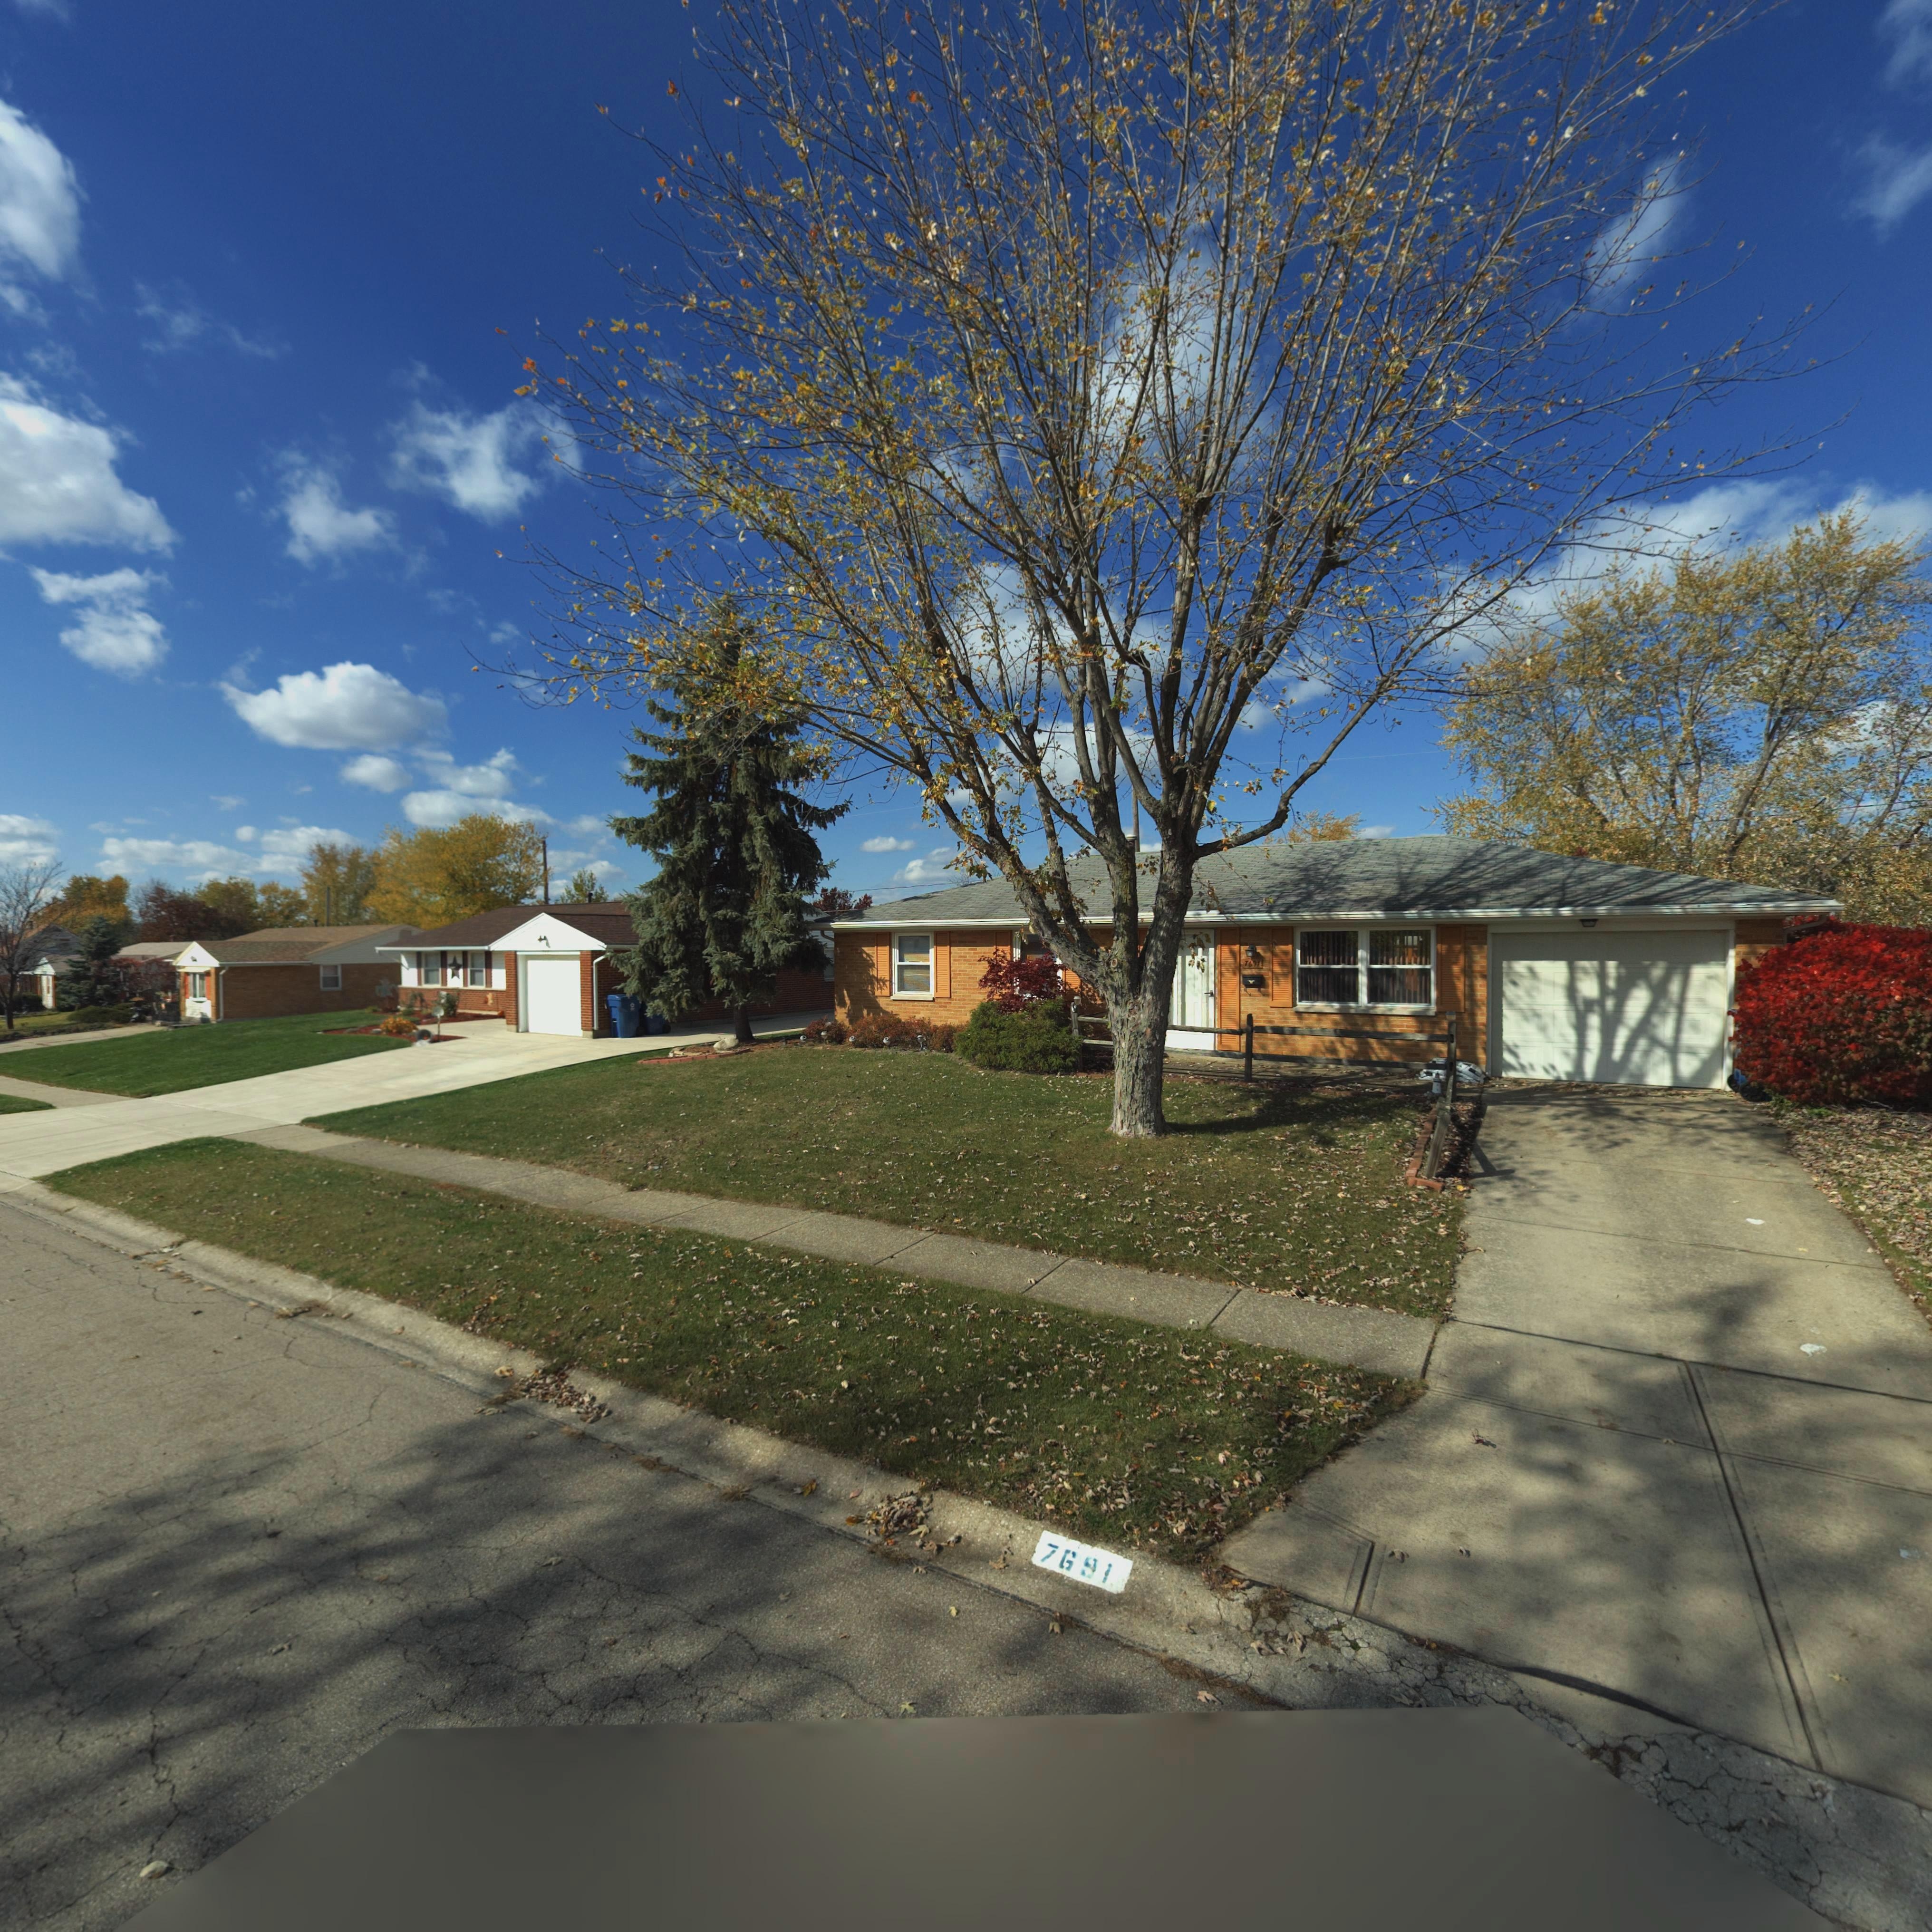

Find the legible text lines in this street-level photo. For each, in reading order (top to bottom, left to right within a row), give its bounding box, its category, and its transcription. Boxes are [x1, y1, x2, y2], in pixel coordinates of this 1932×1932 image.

[1243, 960, 1261, 968] StreetNumber: 7691
[1038, 1541, 1114, 1586] StreetNumber: 7691